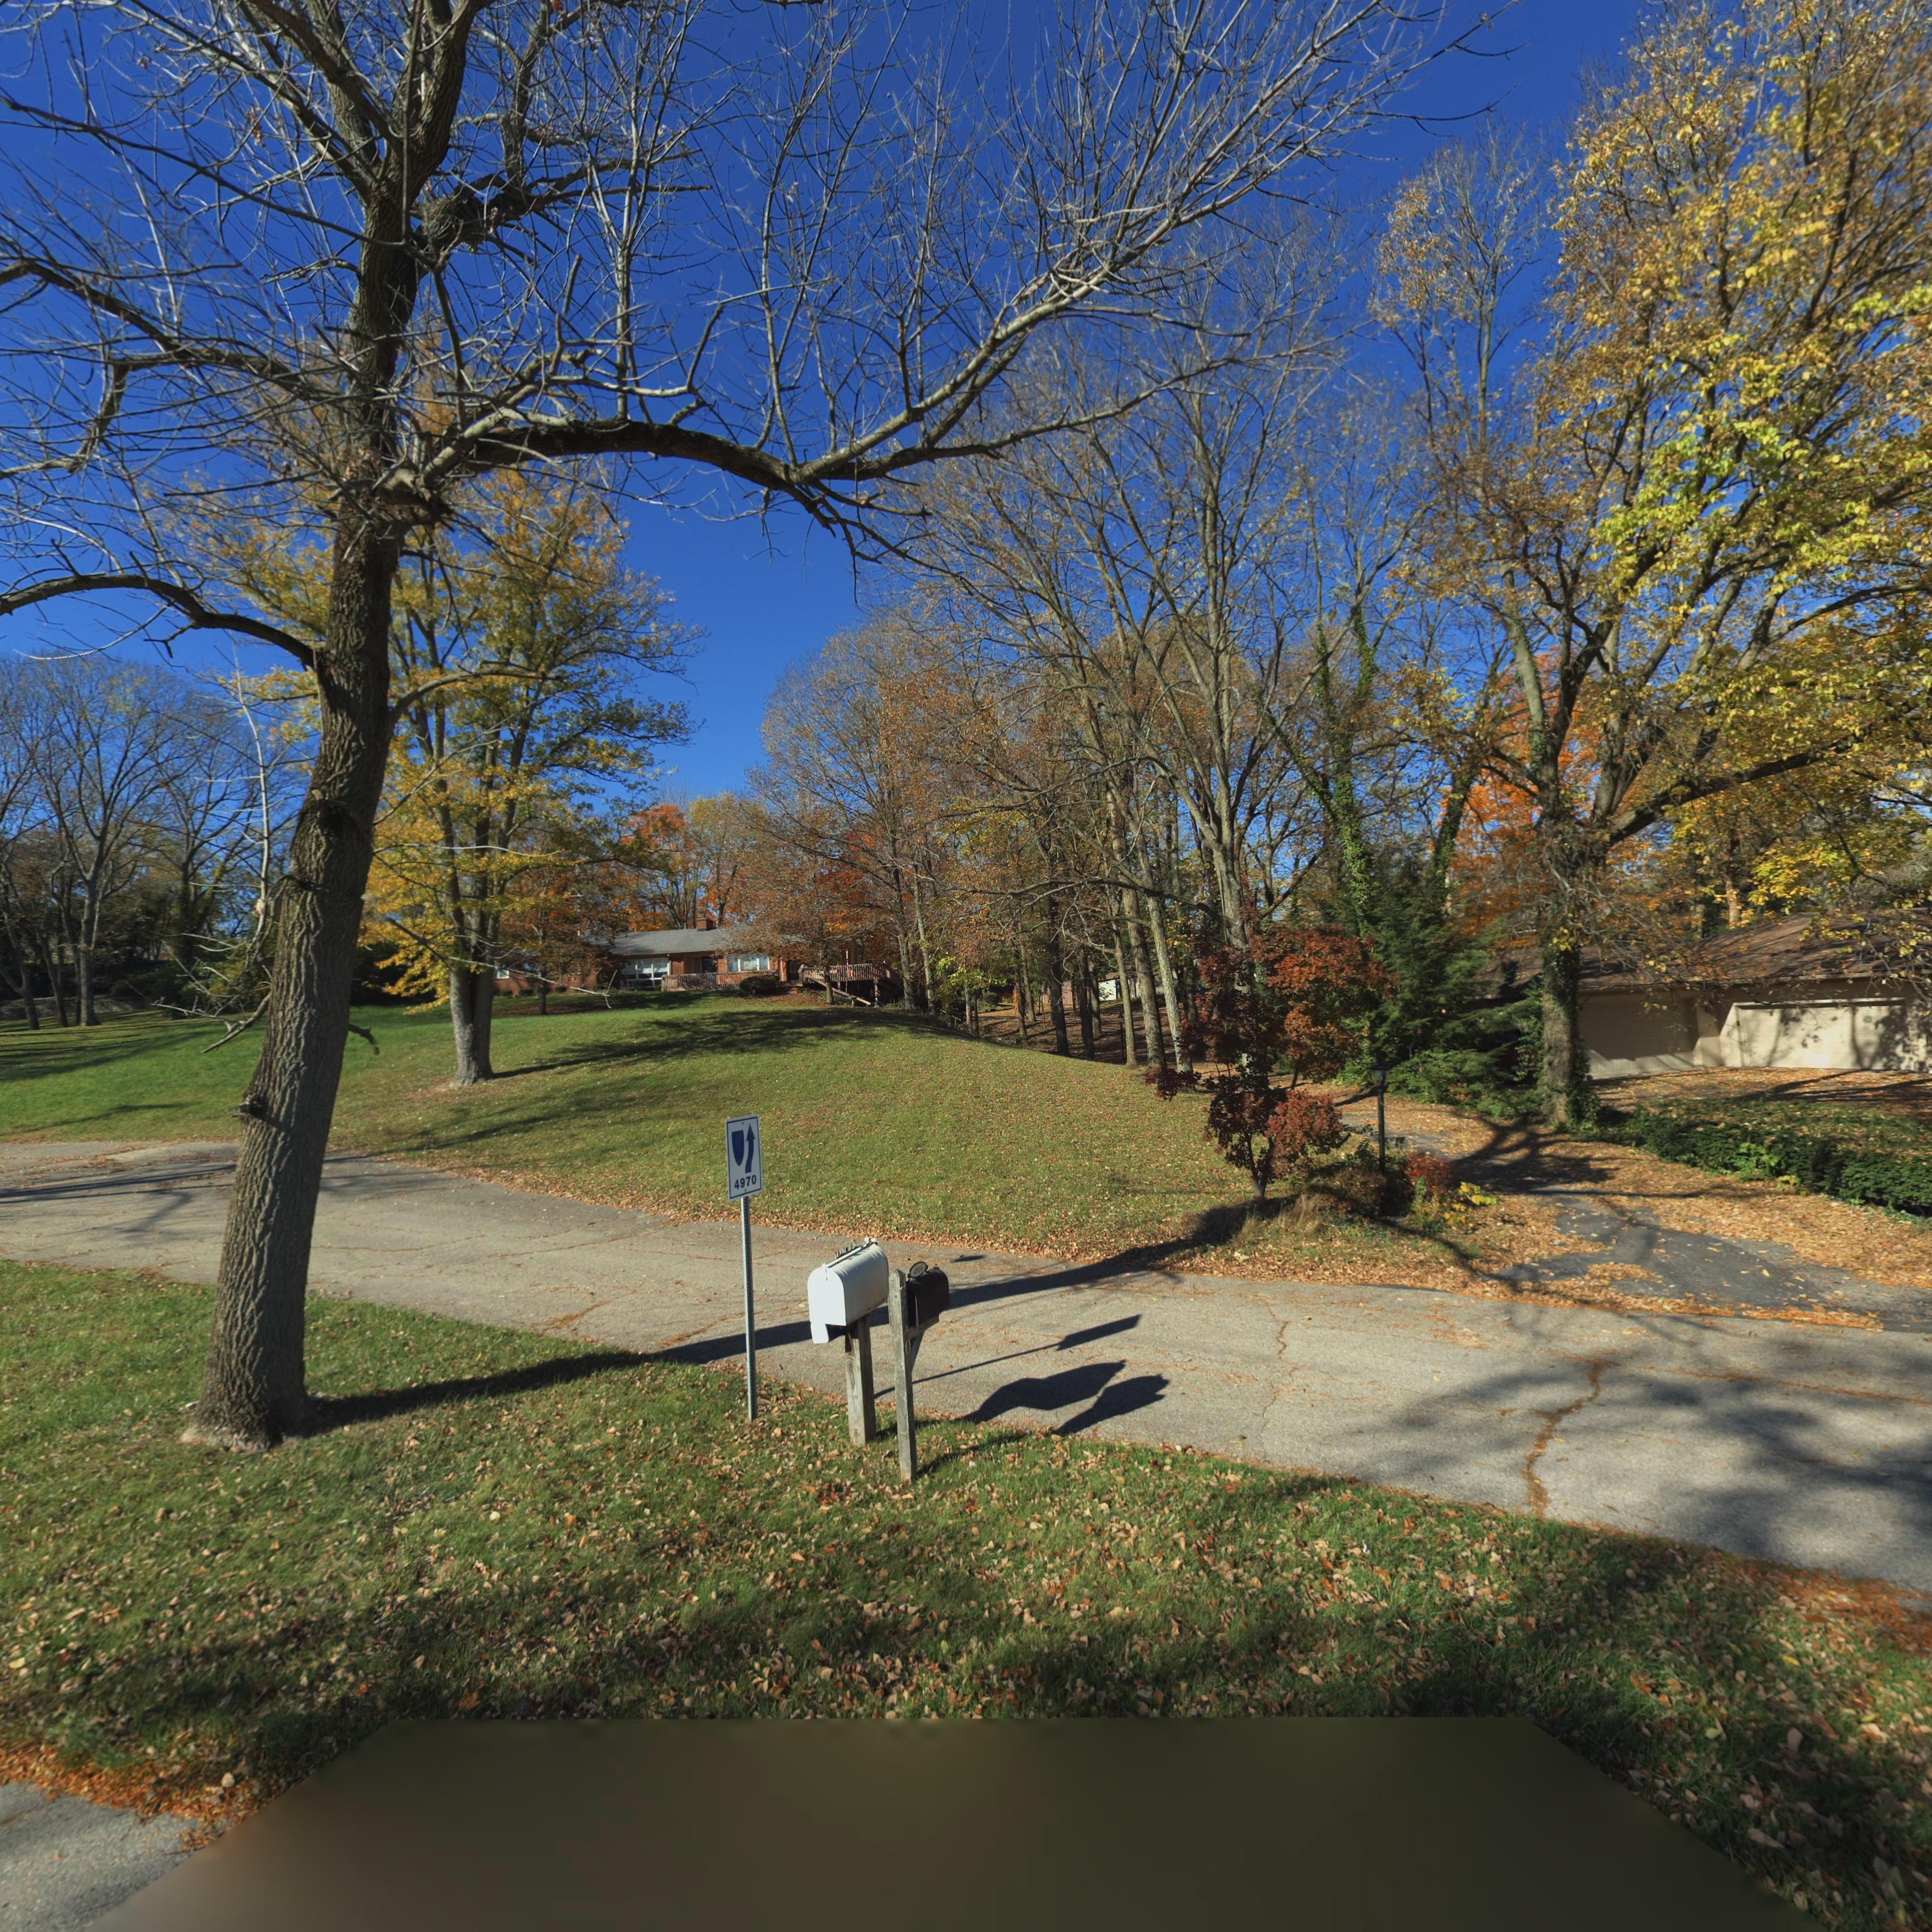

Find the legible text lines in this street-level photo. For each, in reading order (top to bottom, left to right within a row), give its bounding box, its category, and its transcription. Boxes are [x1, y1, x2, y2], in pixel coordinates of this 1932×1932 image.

[913, 1263, 924, 1276] StreetNumber: 4910
[899, 1275, 912, 1358] StreetNumber: 4910